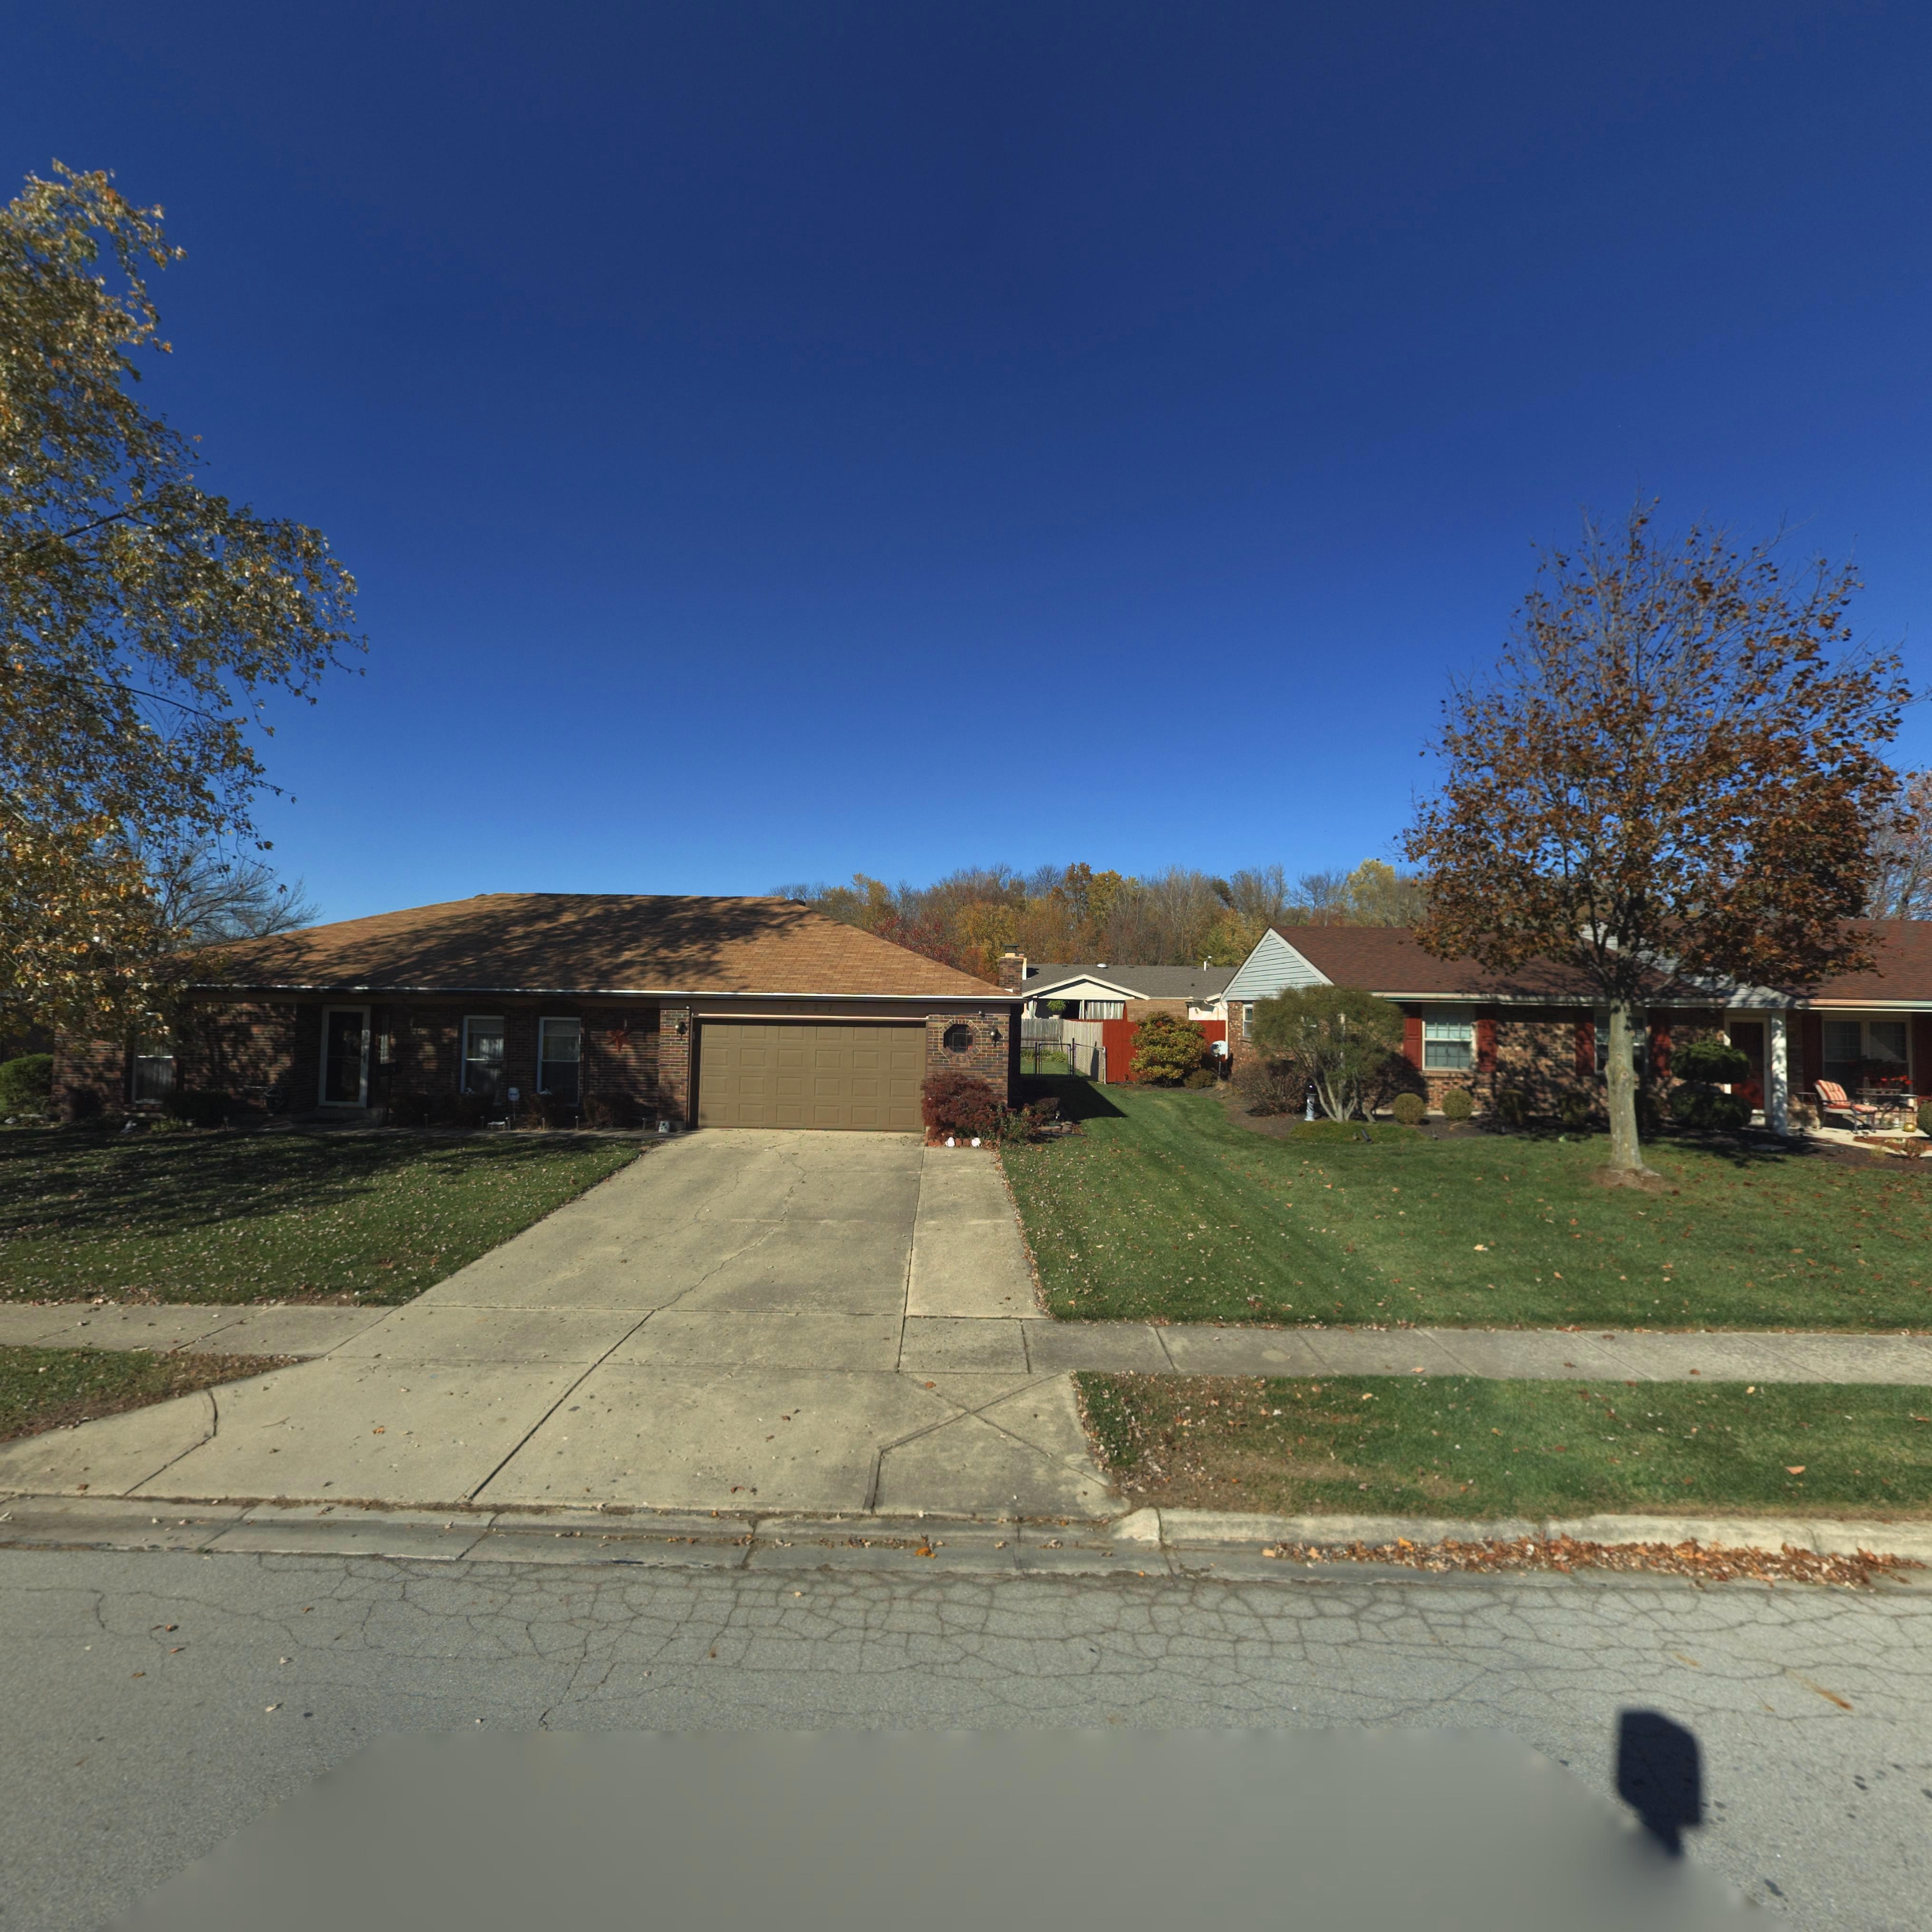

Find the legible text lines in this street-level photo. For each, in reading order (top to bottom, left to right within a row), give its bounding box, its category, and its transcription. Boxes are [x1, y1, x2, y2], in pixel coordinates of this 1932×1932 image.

[785, 1002, 837, 1012] StreetNumber: 4027